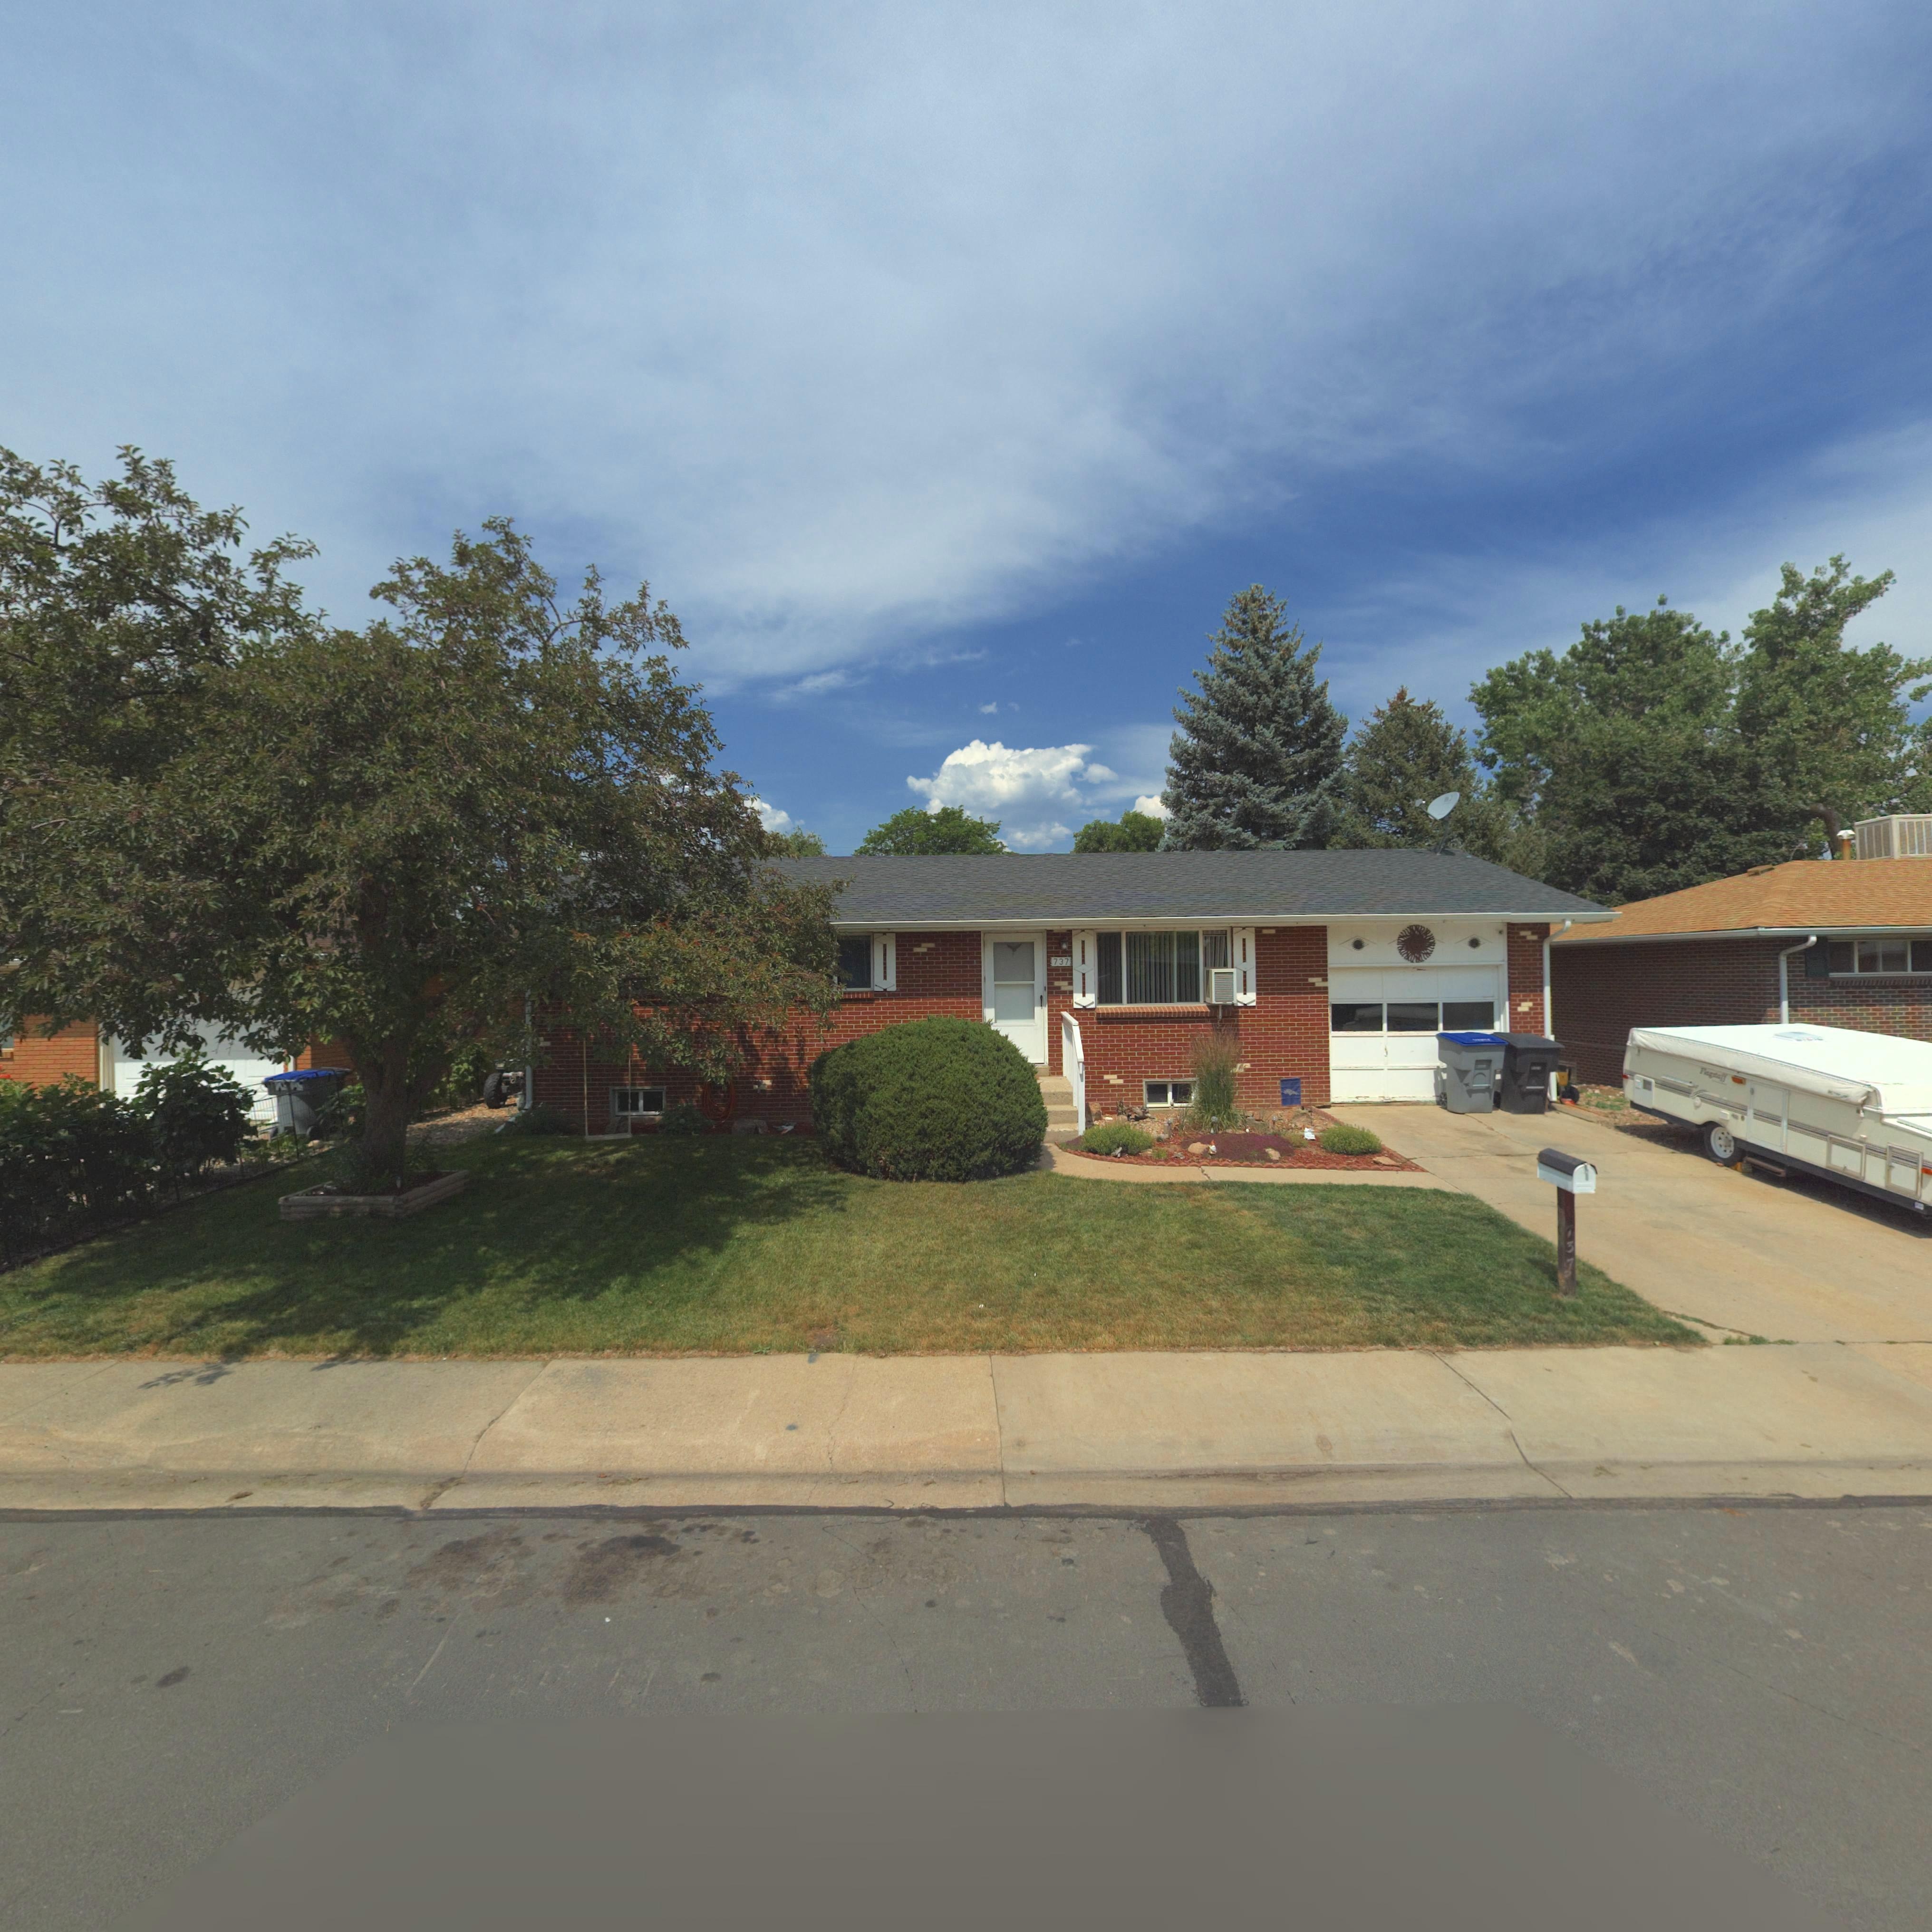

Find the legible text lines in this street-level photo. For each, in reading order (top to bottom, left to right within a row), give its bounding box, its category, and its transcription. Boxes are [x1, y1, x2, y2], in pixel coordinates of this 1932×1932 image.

[1053, 957, 1070, 965] StreetNumber: 737
[1565, 1222, 1575, 1275] StreetNumber: 737